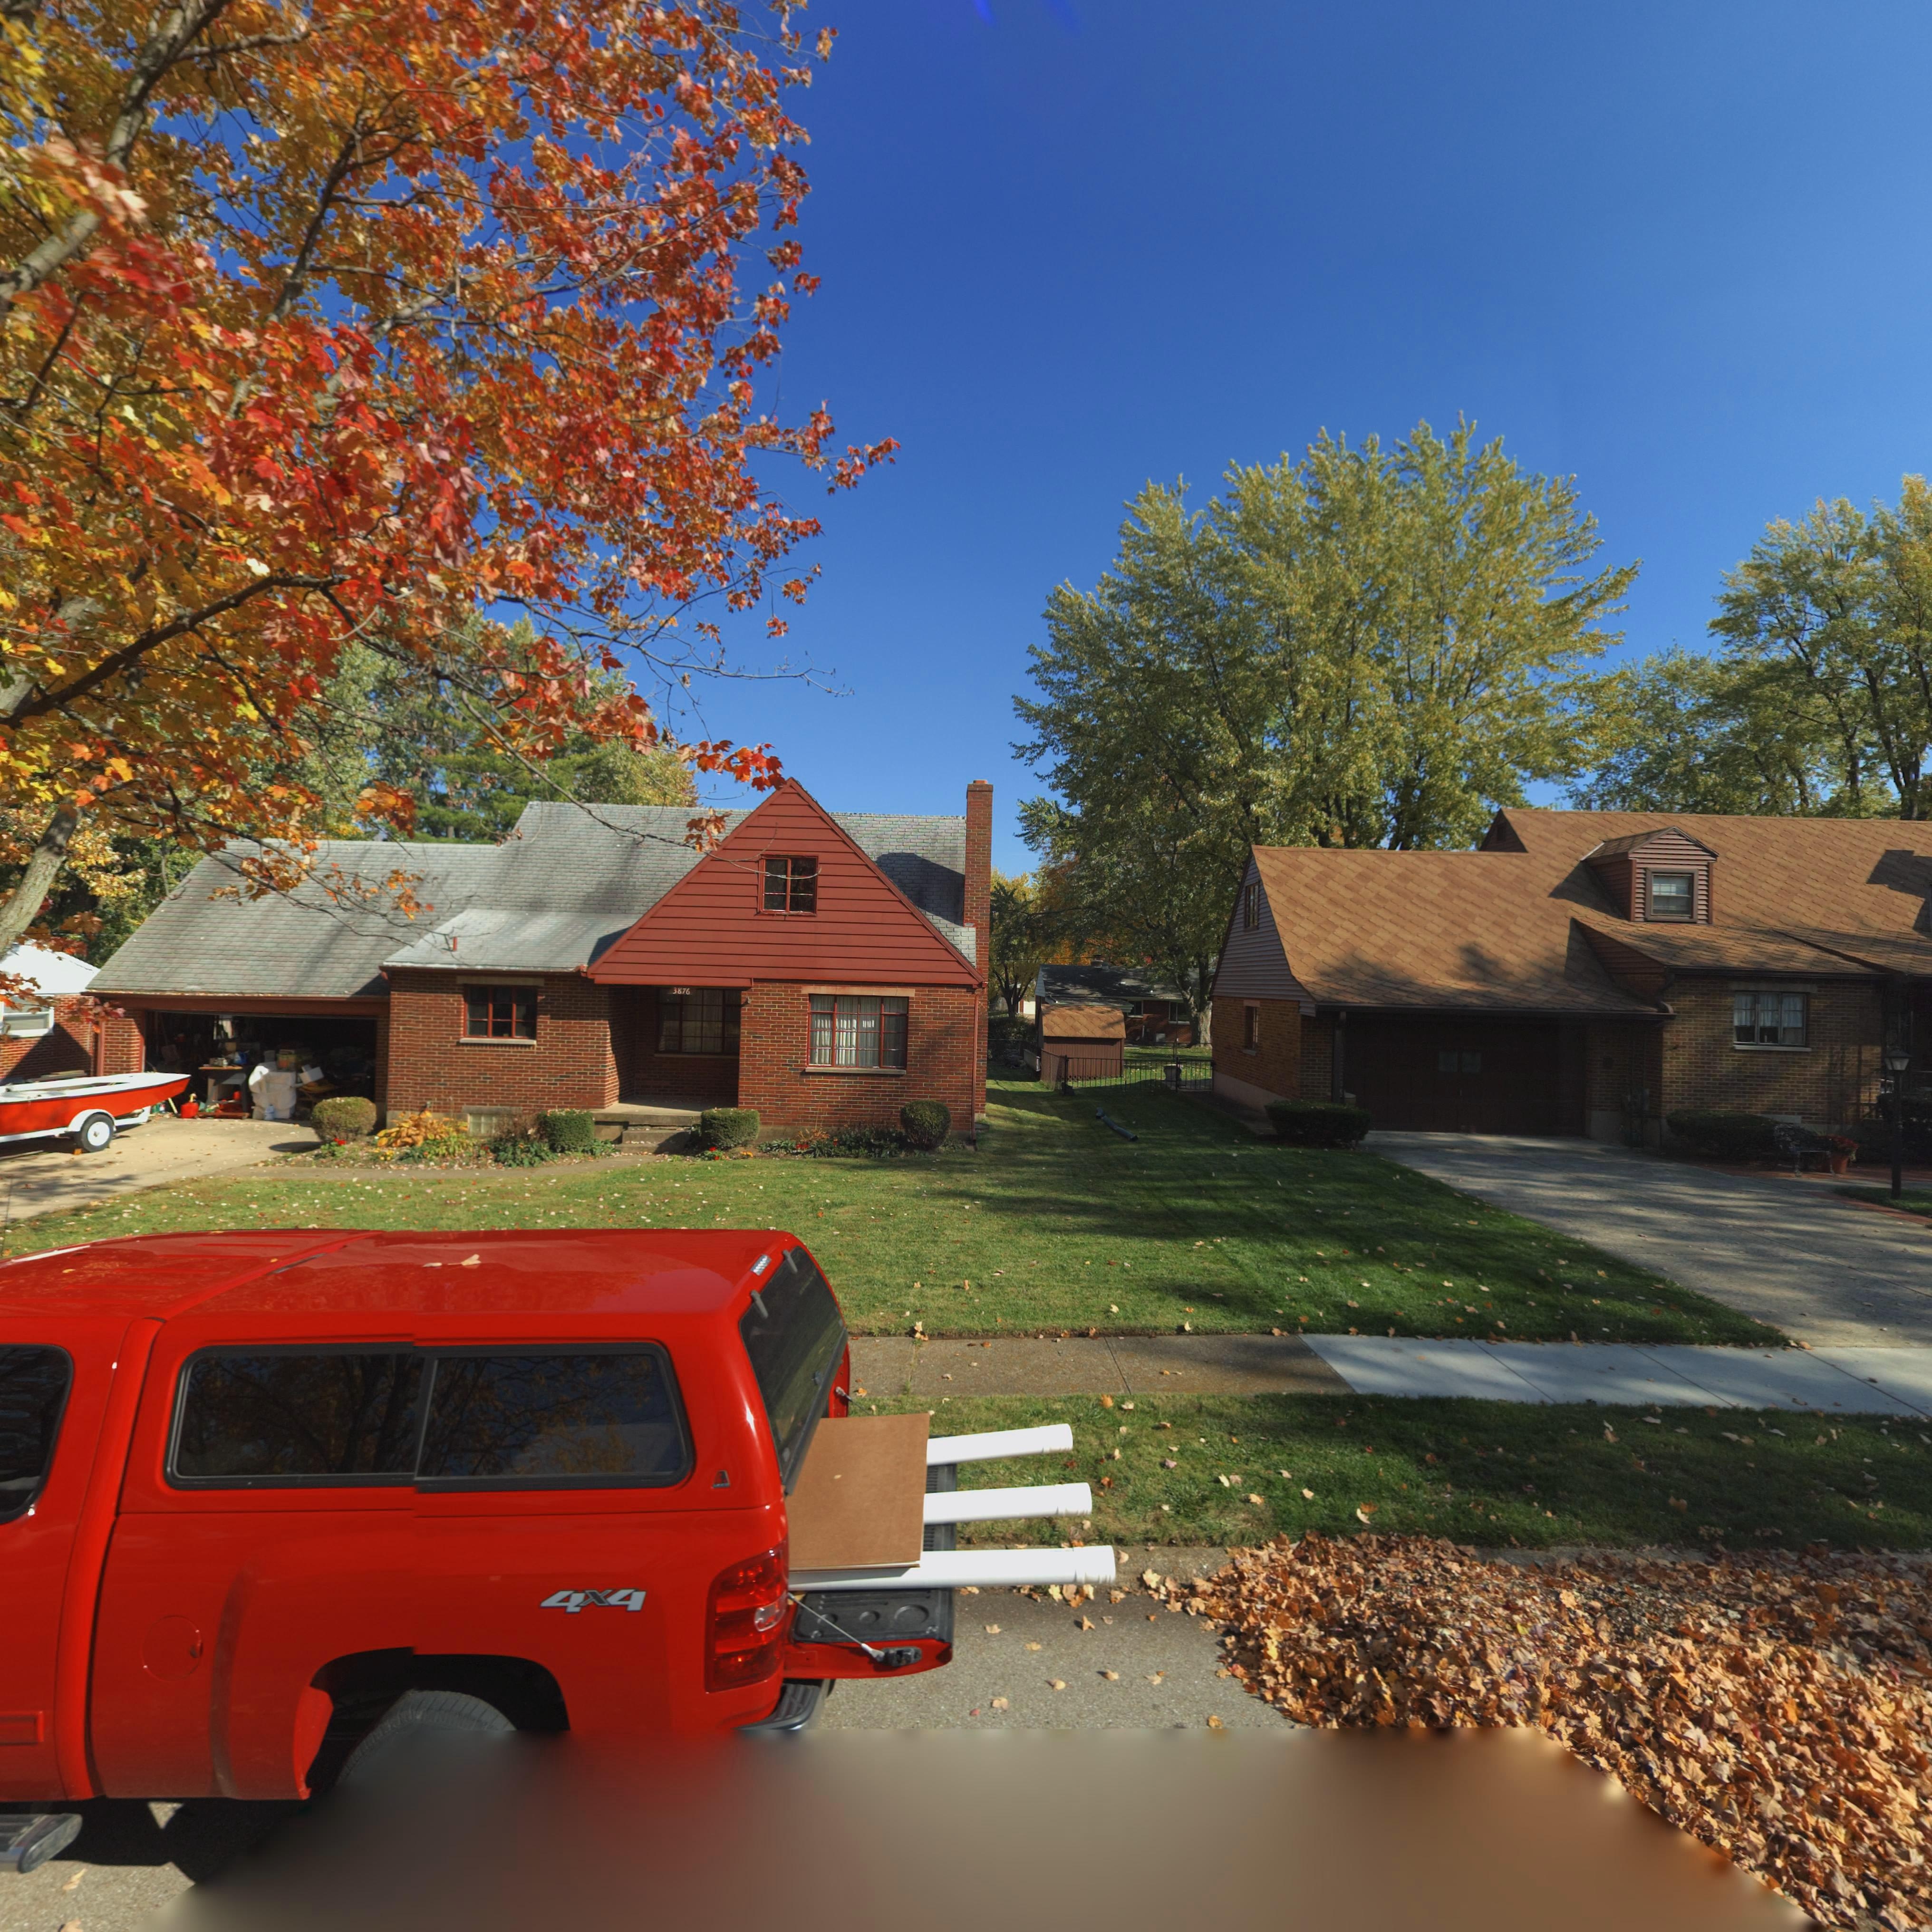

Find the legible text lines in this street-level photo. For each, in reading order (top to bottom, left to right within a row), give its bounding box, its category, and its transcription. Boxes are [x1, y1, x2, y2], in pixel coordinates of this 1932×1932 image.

[671, 986, 692, 995] StreetNumber: 3876
[539, 1587, 648, 1614] None: 4x4